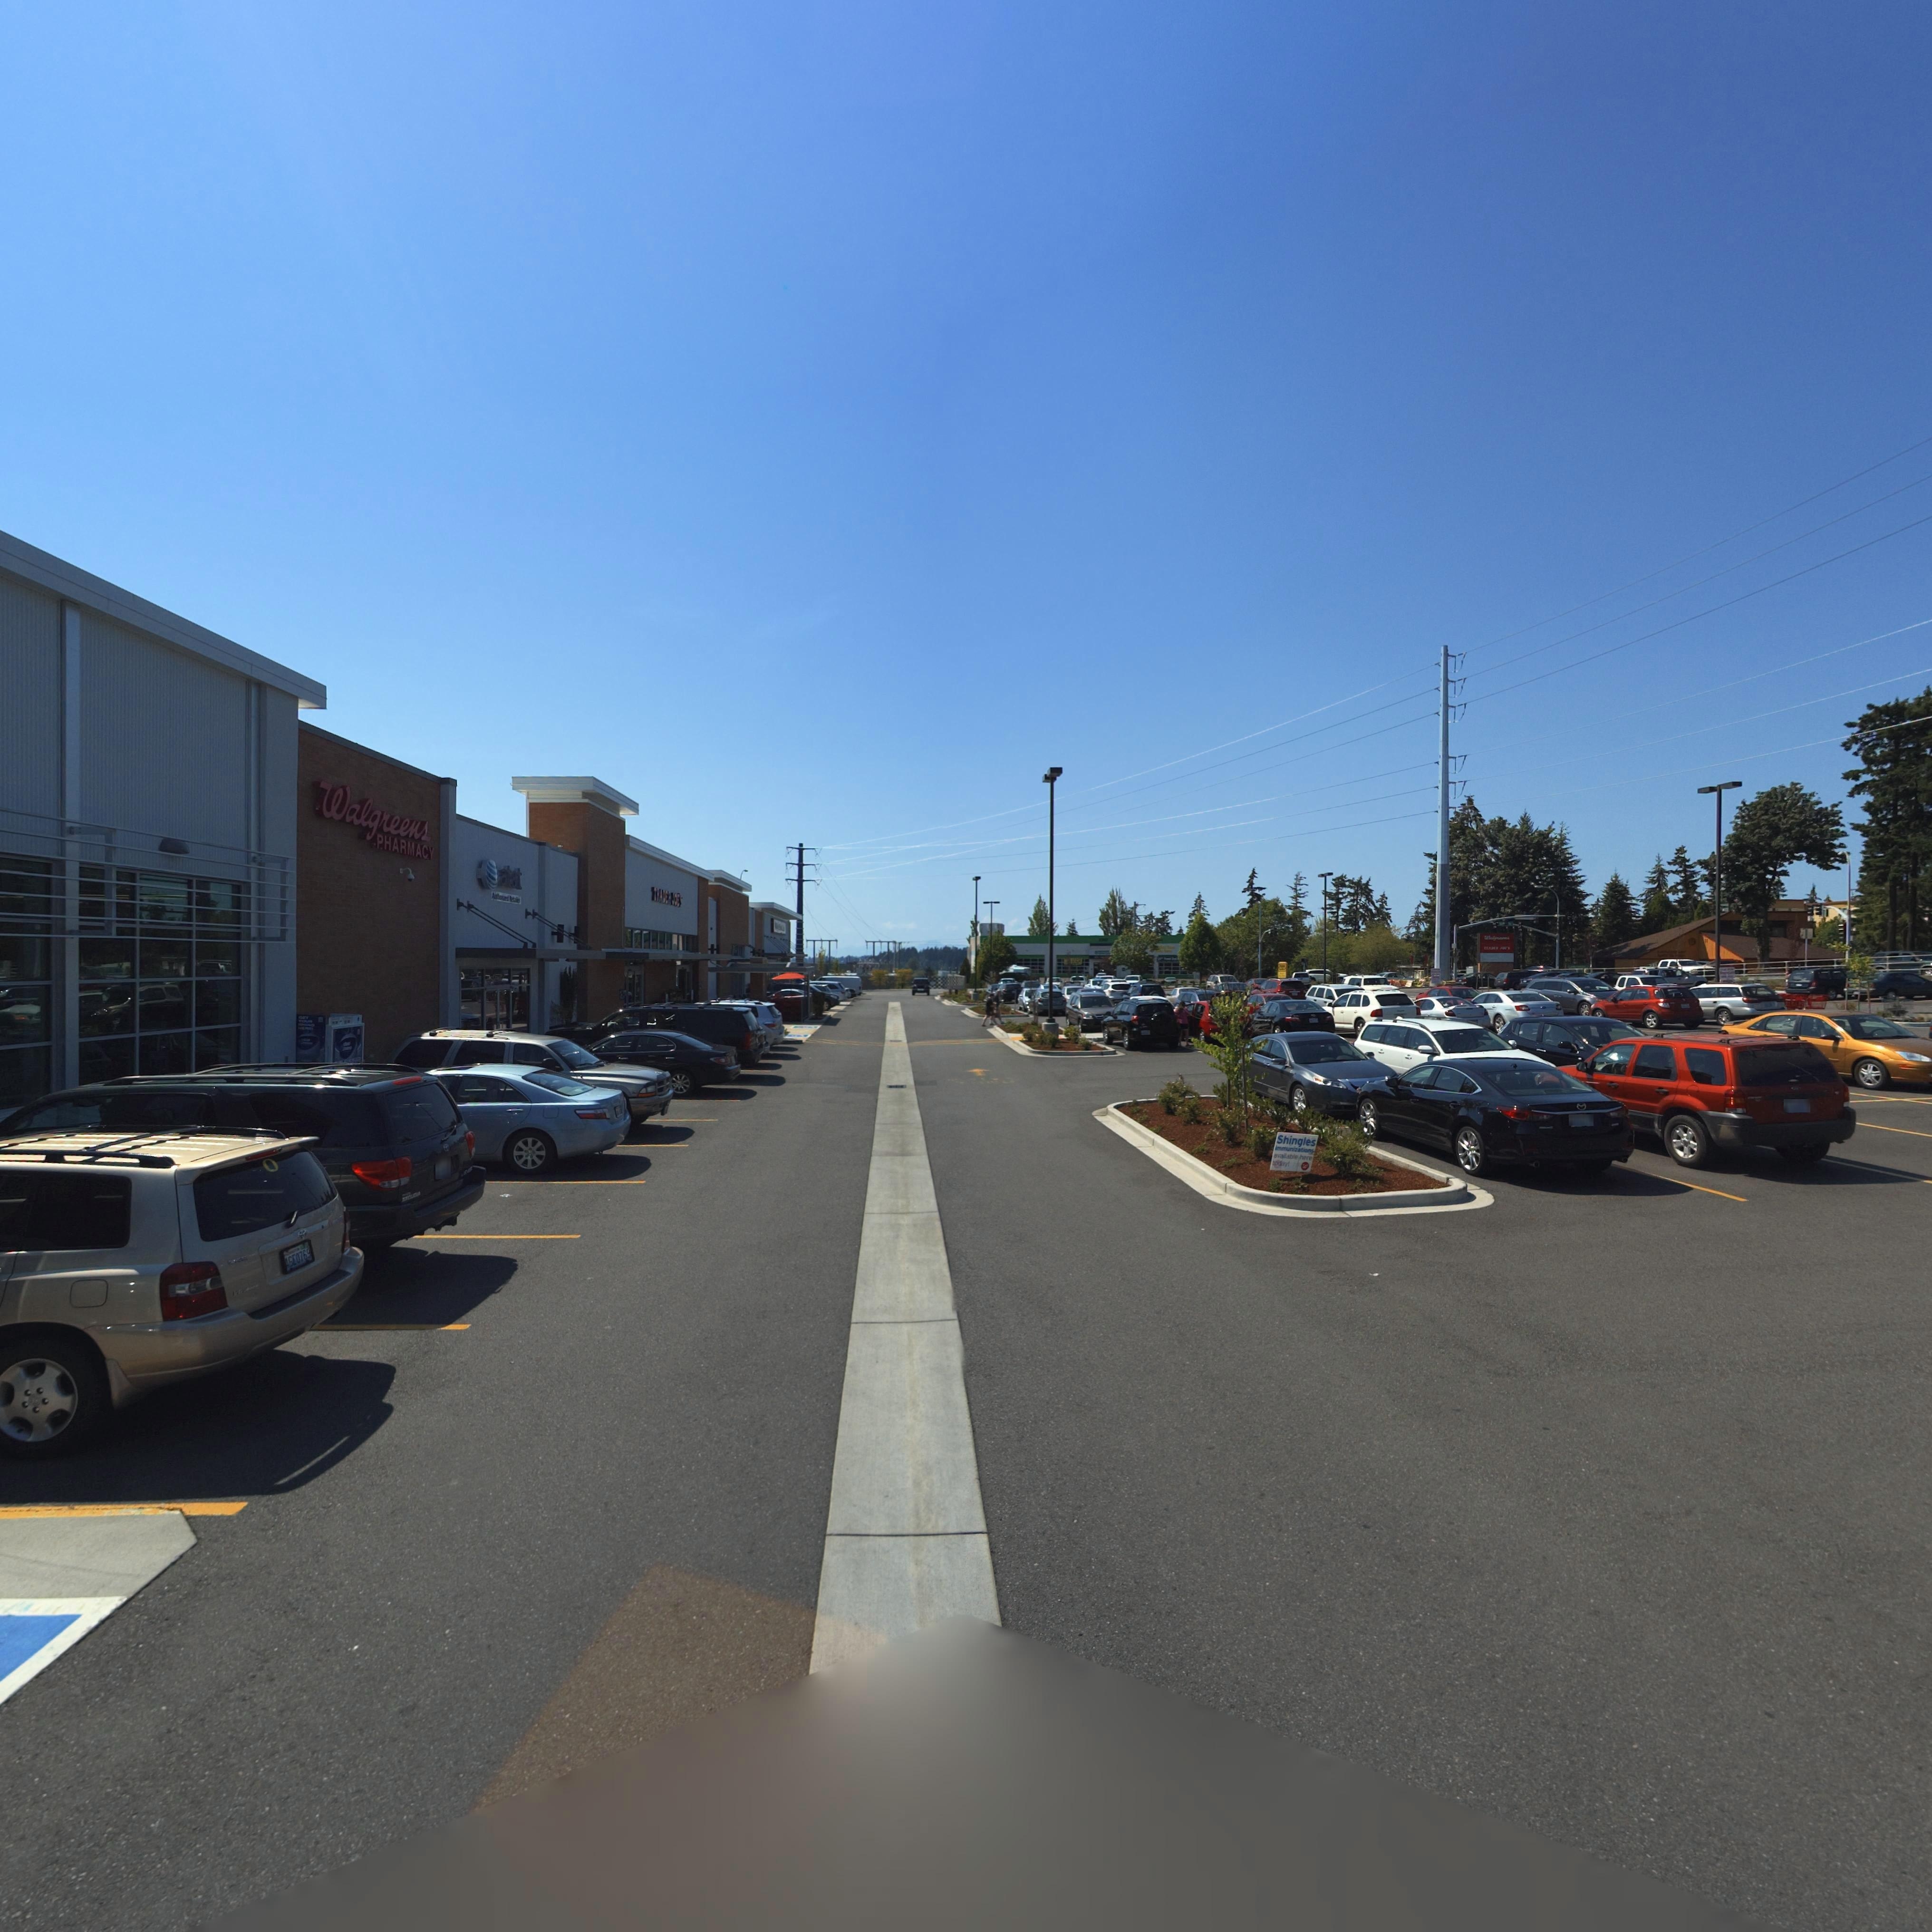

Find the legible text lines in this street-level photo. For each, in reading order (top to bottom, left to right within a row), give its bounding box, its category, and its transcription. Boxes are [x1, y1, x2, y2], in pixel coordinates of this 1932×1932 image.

[312, 776, 434, 844] BusinessName: Walgreens
[498, 861, 525, 892] BusinessName: at*t
[649, 886, 685, 910] BusinessName: TRADER JOE*S